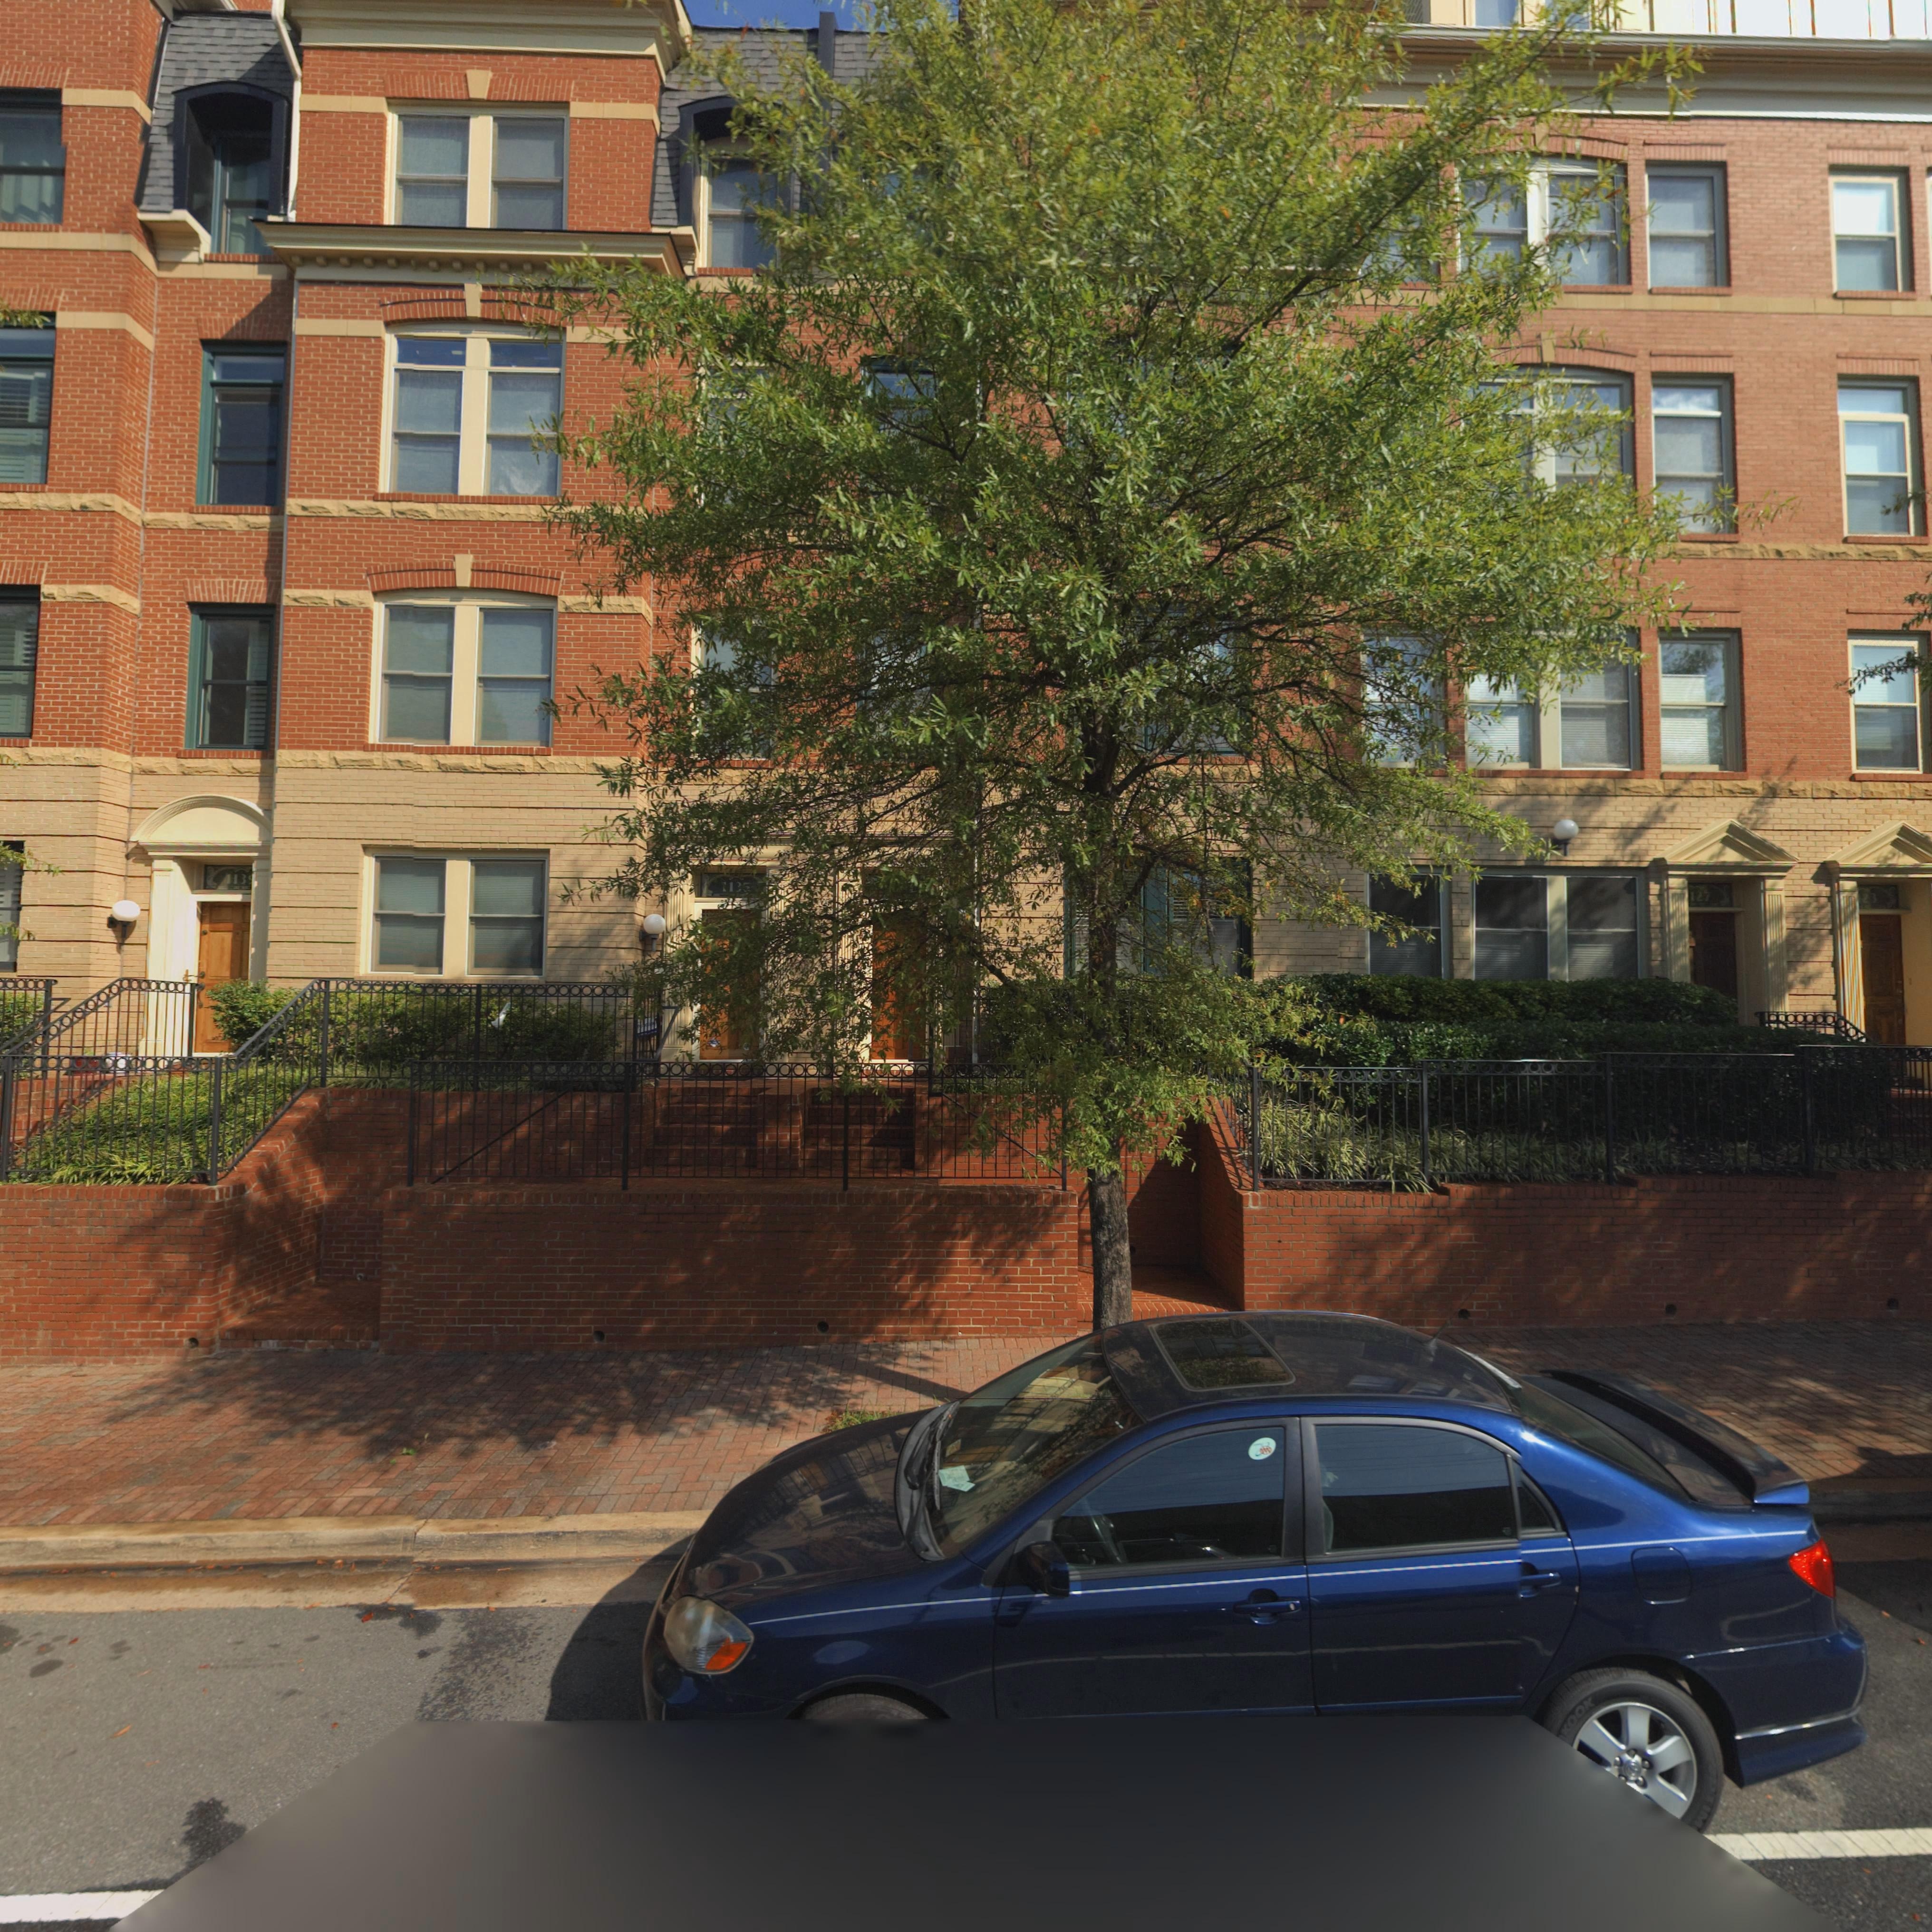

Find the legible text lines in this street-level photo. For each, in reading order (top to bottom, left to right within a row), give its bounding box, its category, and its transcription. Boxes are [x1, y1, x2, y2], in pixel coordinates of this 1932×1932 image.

[225, 873, 247, 885] StreetNumber: 113
[721, 881, 753, 893] StreetNumber: 1135
[1690, 891, 1714, 902] StreetNumber: 127
[1862, 893, 1878, 903] StreetNumber: 23